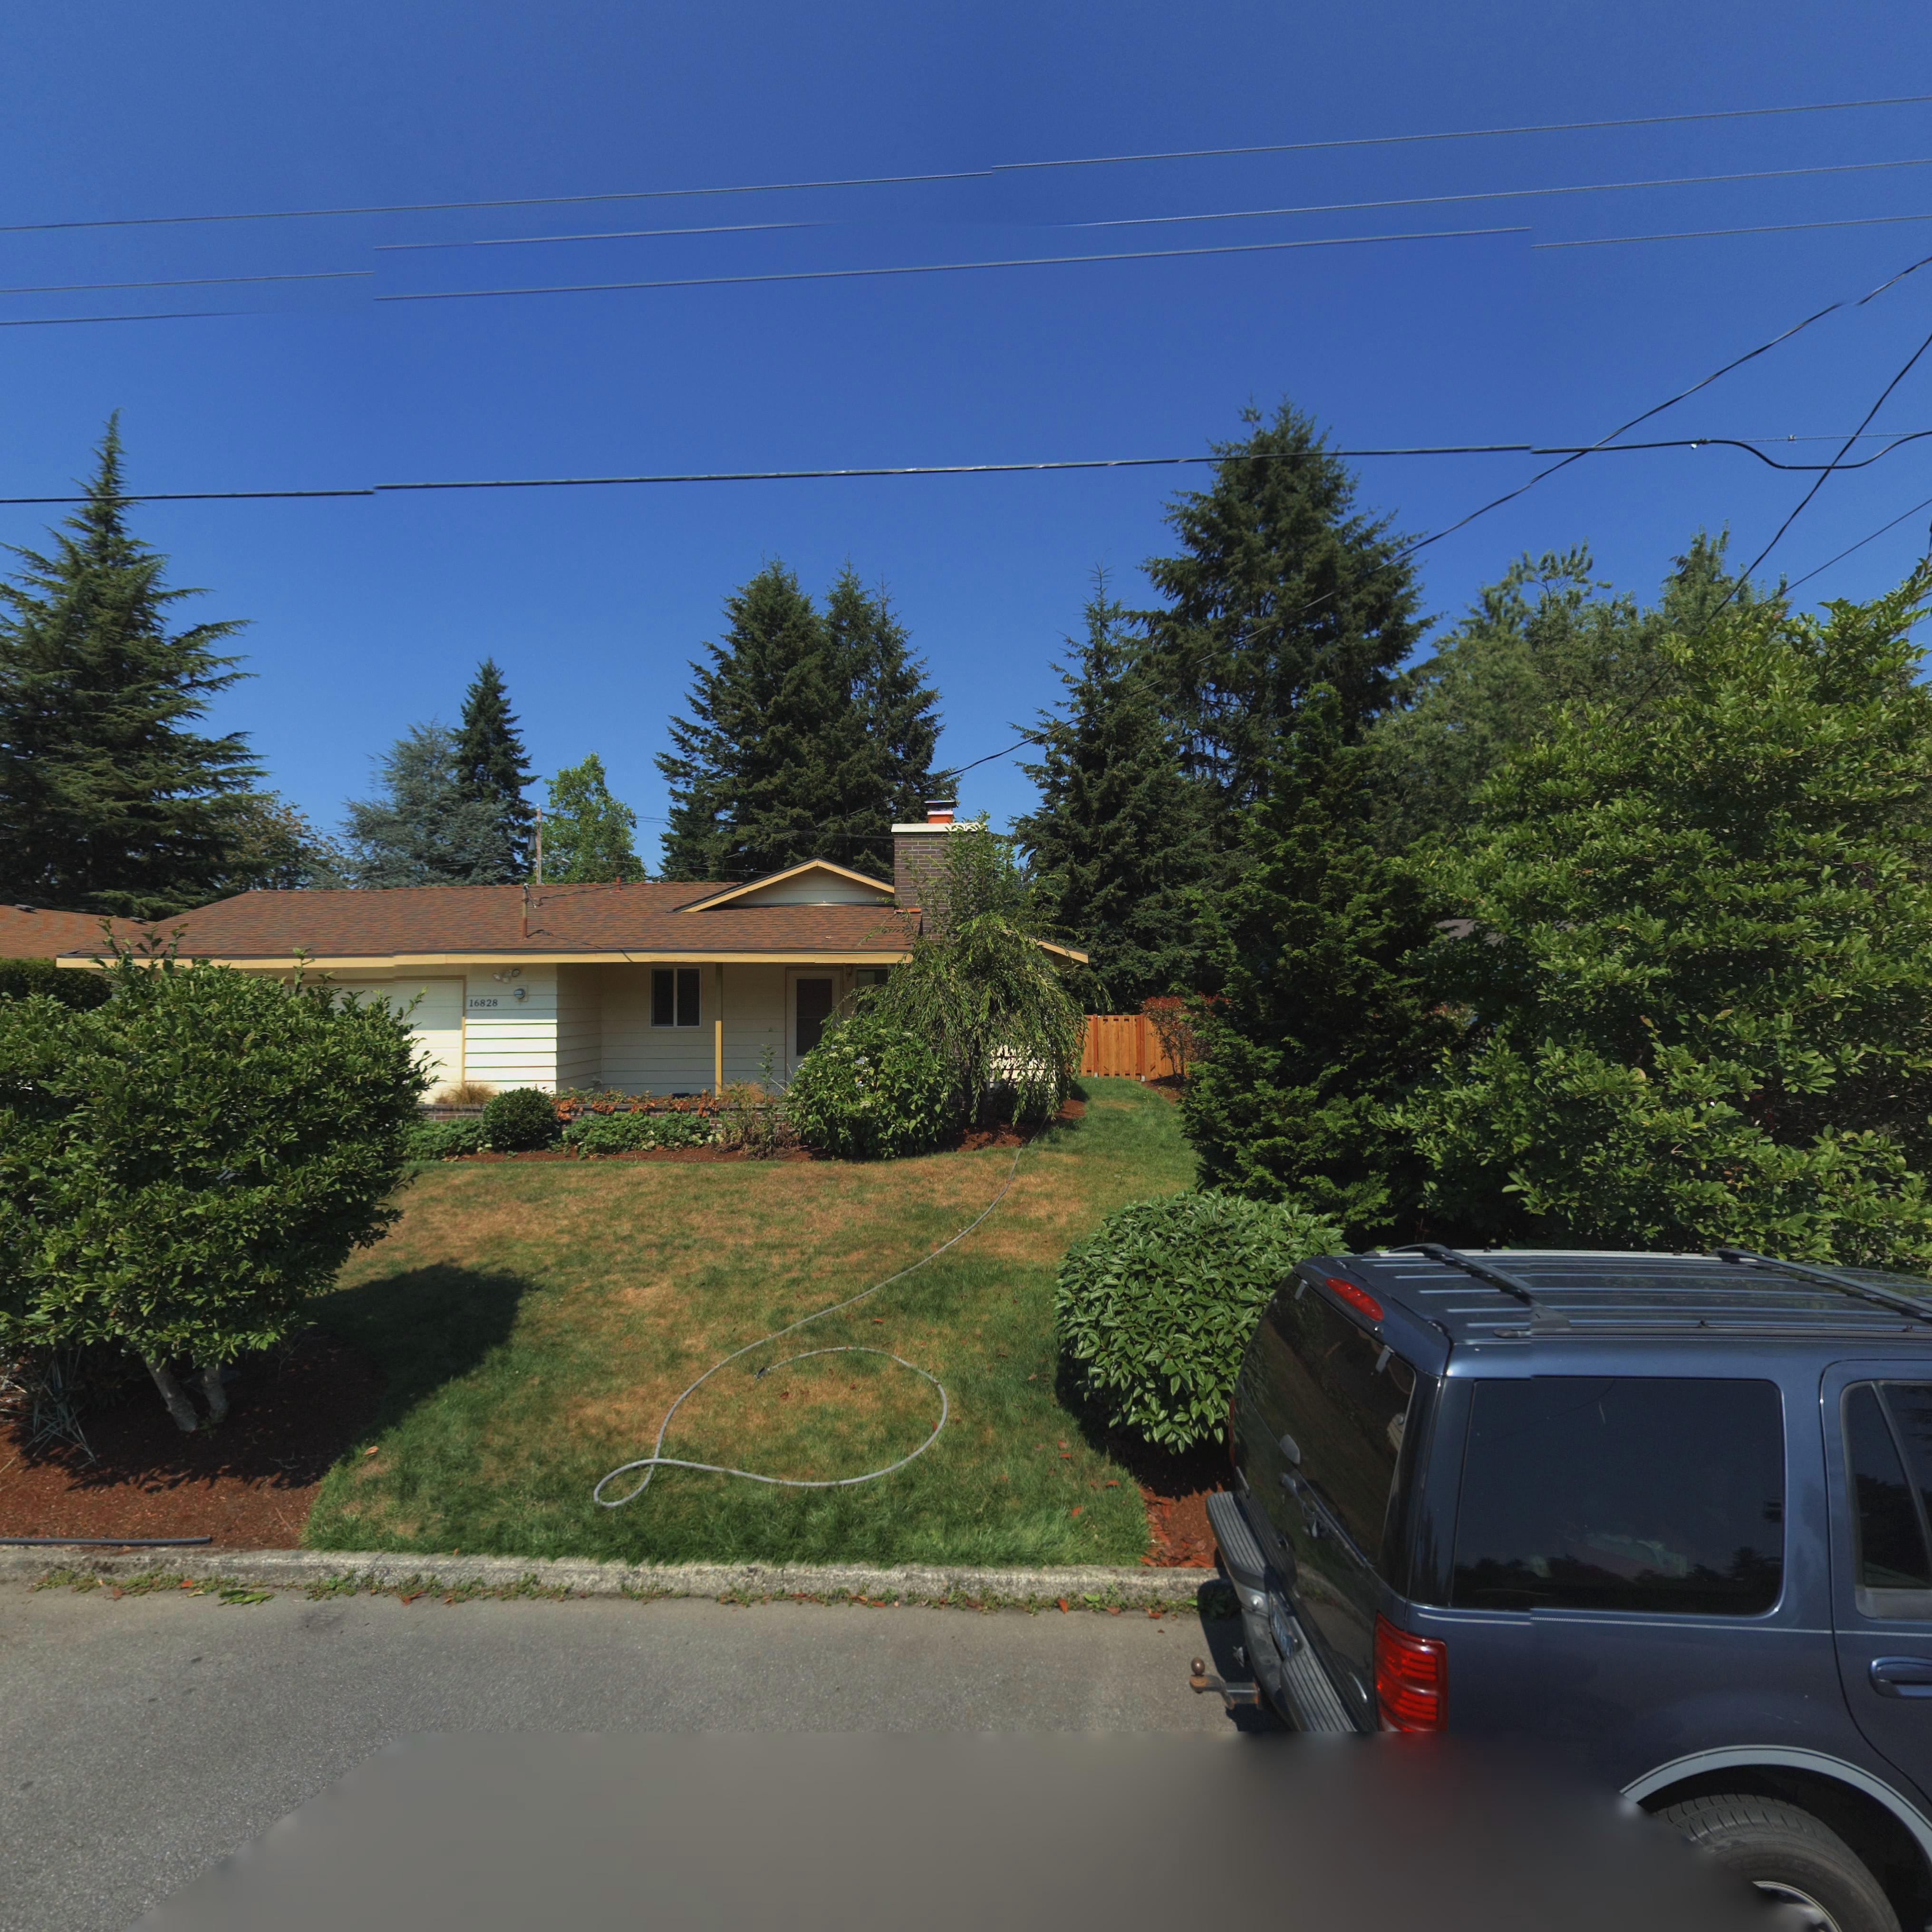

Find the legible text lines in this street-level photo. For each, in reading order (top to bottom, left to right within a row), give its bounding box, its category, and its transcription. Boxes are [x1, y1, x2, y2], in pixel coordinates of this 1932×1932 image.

[469, 997, 498, 1007] StreetNumber: 16828